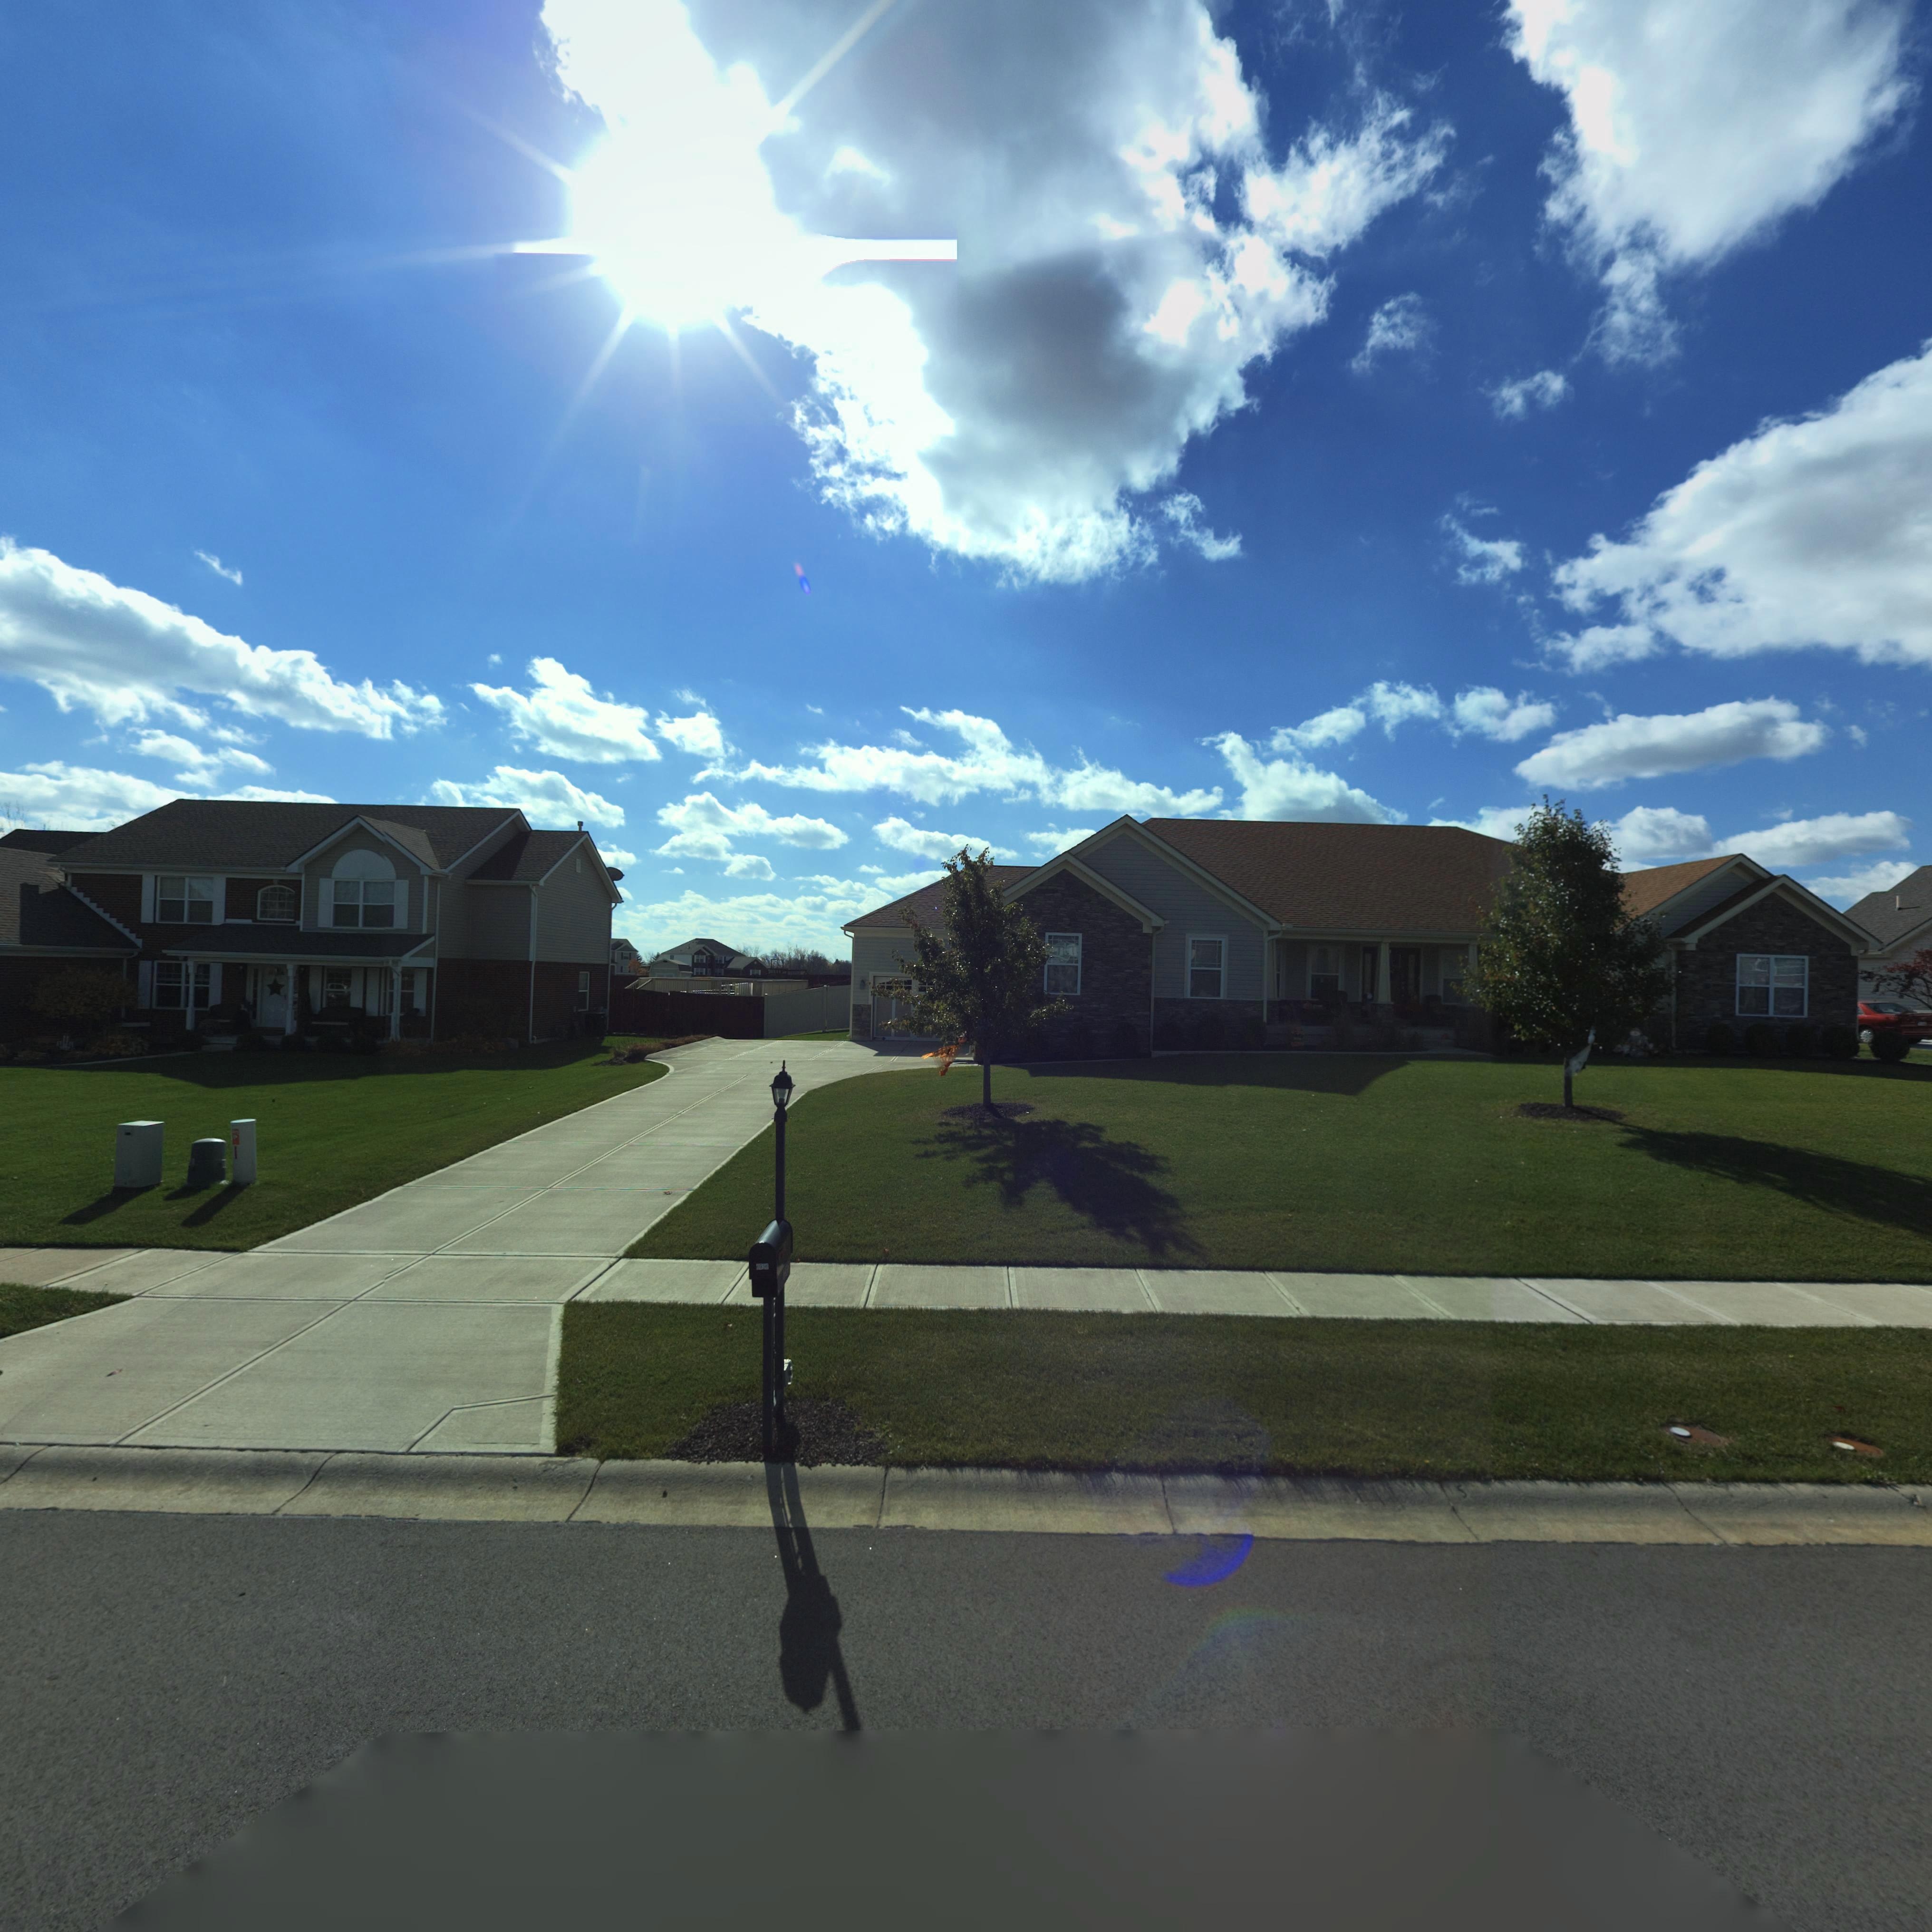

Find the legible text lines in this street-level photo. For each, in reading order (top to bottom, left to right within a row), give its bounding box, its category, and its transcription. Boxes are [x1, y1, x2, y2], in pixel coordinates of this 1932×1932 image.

[756, 1263, 769, 1270] StreetNumber: 6936